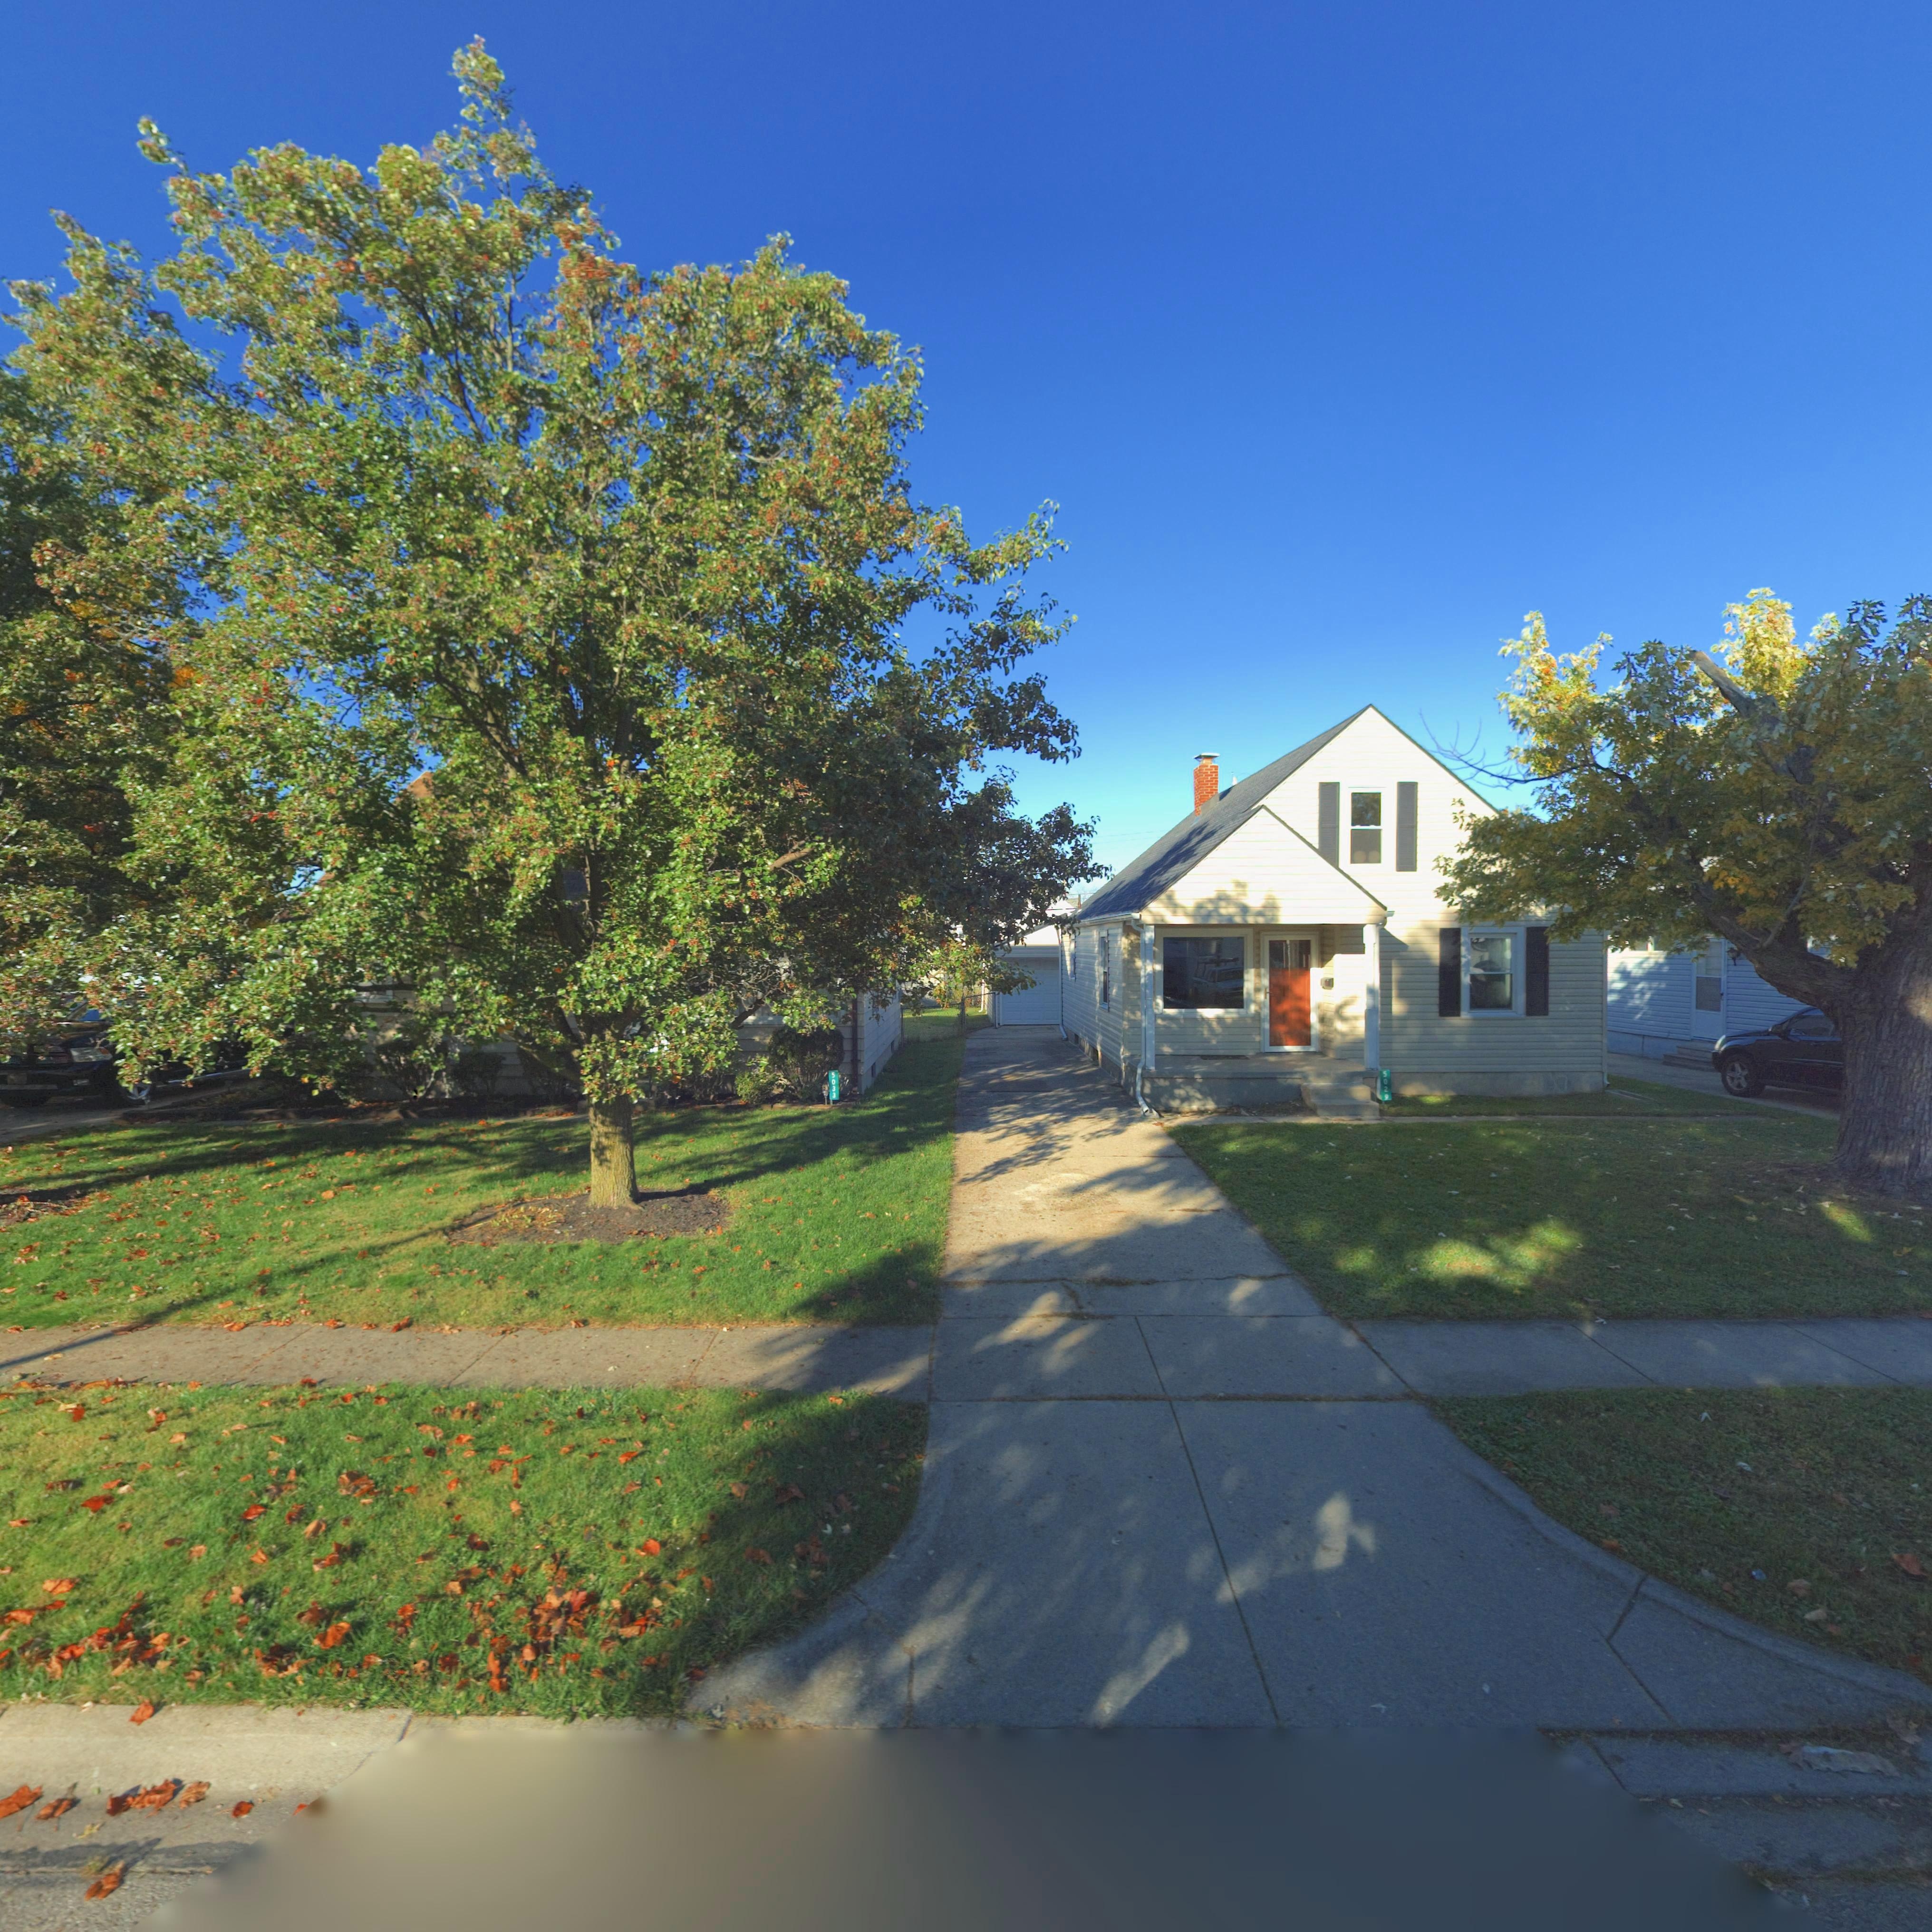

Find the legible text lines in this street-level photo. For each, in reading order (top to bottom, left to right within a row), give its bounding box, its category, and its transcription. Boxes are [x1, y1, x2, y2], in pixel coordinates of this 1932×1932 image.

[831, 1072, 837, 1099] StreetNumber: 5033
[1382, 1070, 1389, 1101] StreetNumber: 5029